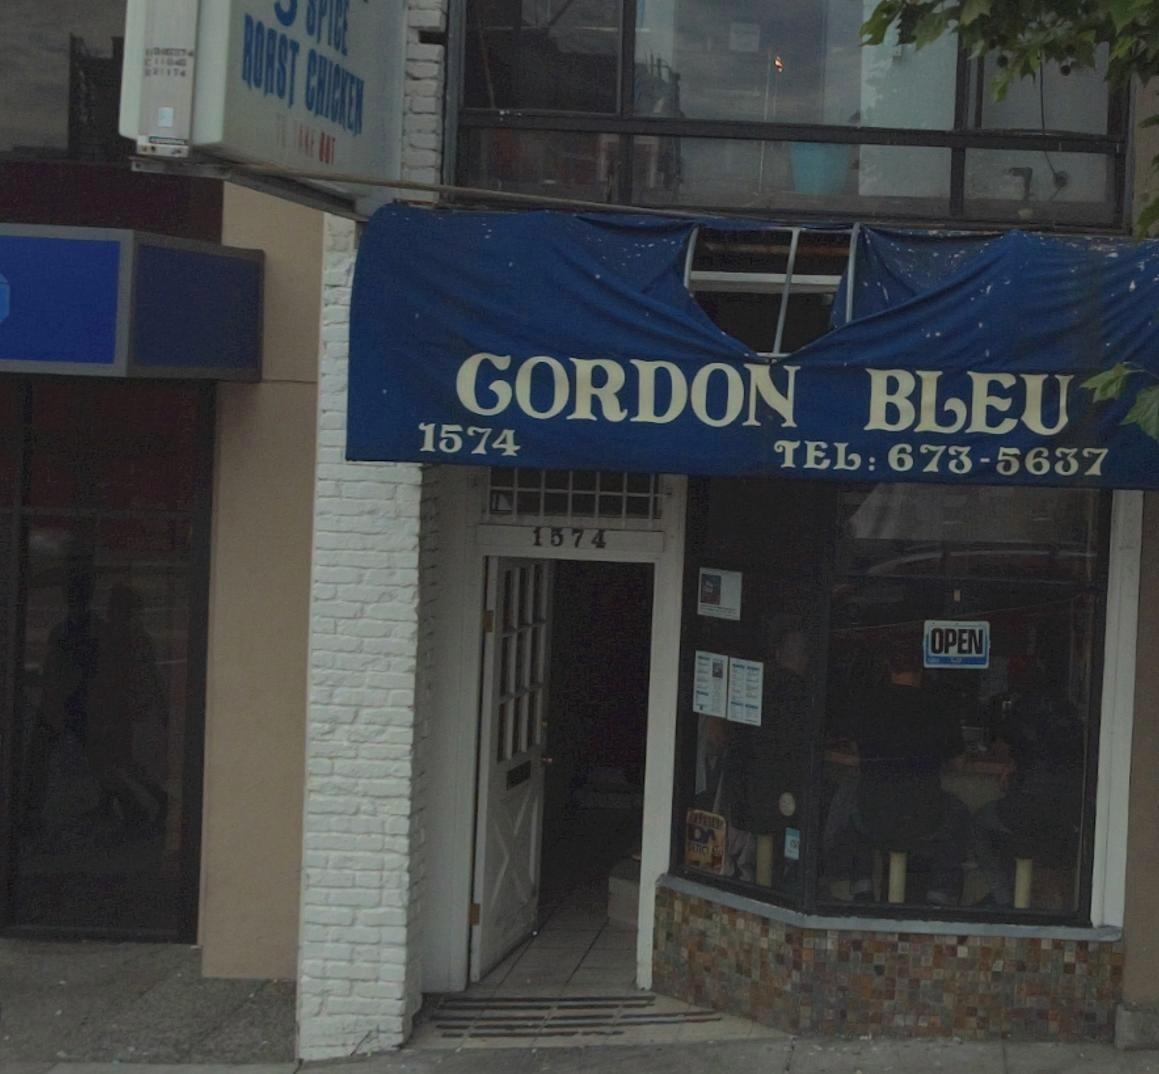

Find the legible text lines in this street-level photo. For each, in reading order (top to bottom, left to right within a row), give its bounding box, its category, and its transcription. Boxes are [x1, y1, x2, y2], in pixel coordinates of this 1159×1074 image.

[240, 11, 366, 137] None: ROAST CHICKEN
[290, 117, 337, 168] None: TAKE OUT
[453, 348, 1079, 439] BusinessName: CORDON BLEU
[417, 419, 525, 459] StreetNumber: 1574
[770, 437, 1113, 478] None: TEL:673-5637
[531, 525, 609, 550] StreetNumber: 1574
[929, 627, 984, 655] None: OPEN